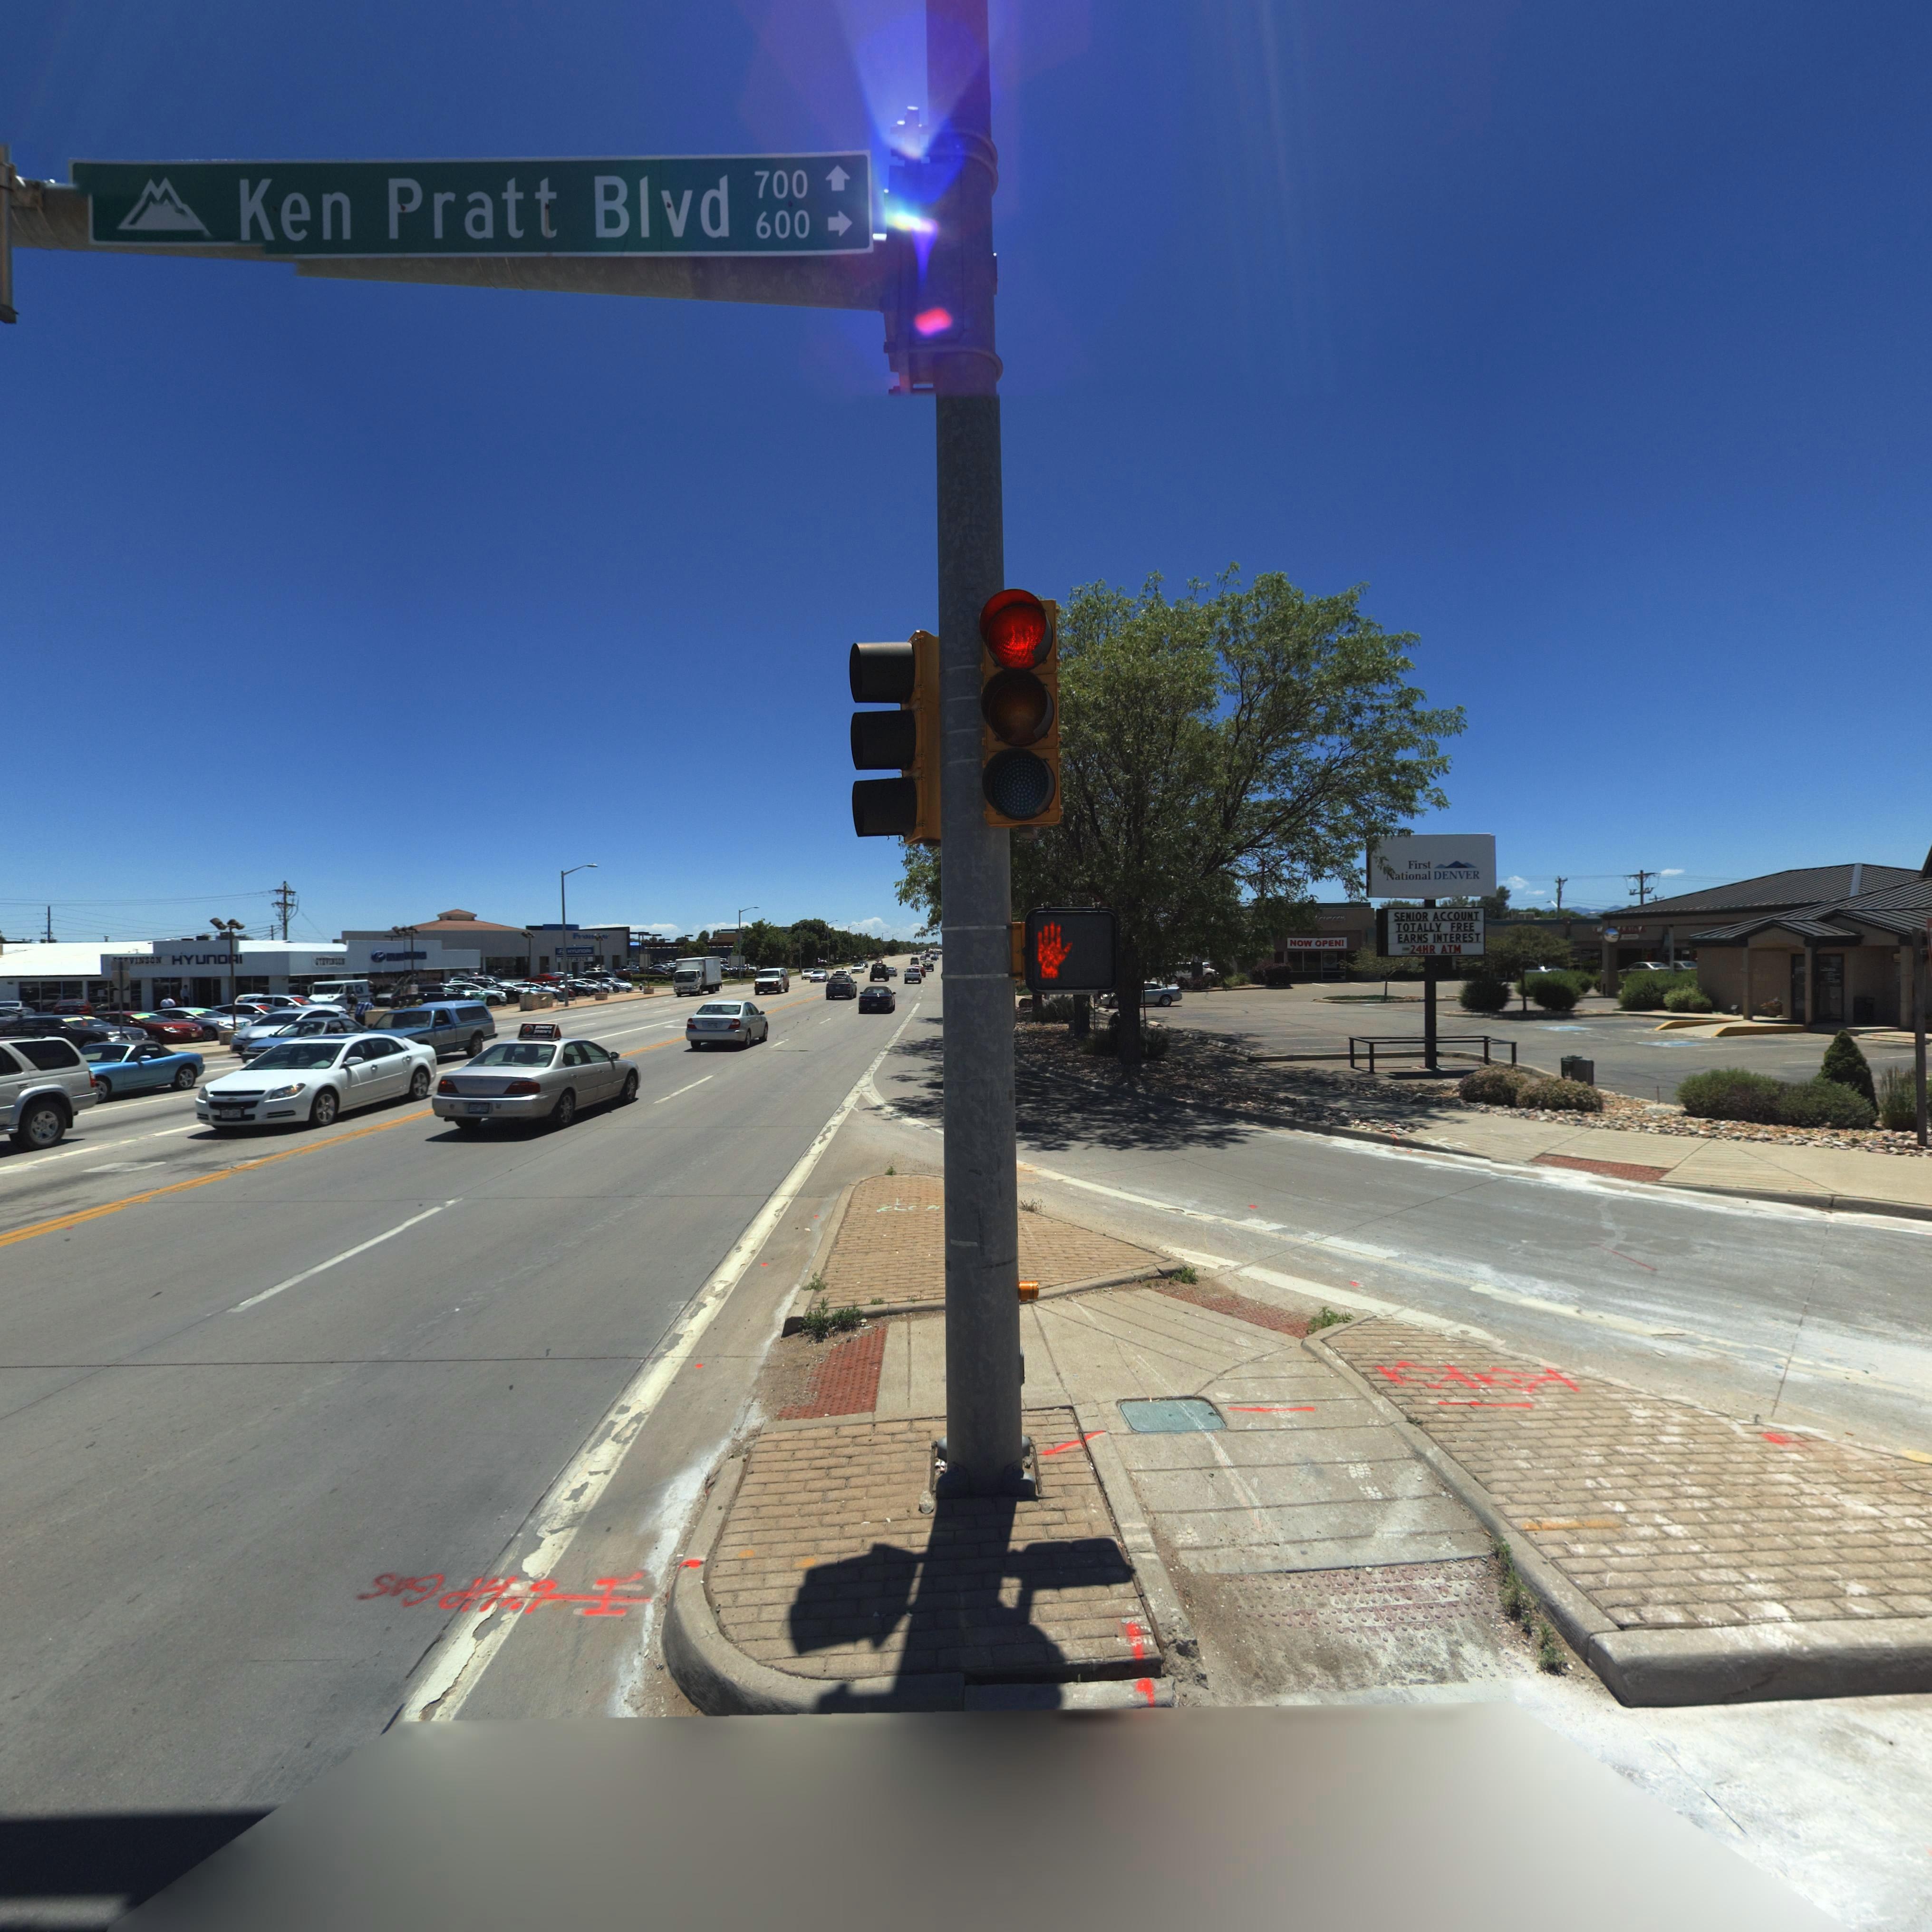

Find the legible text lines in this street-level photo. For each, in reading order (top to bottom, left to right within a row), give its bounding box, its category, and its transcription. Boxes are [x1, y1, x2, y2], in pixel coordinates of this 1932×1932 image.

[754, 169, 808, 198] StreetNumber: 700
[240, 174, 729, 241] StreetName: Ken Pratt Blvd
[755, 210, 853, 240] StreetNumber: 600->
[1408, 860, 1431, 869] BusinessName: First
[1386, 870, 1479, 880] BusinessName: *ational DENVER
[573, 932, 610, 939] BusinessName: Fron***r
[568, 948, 591, 953] BusinessName: HYUNDAI
[113, 954, 242, 965] BusinessName: ***VINSON HYUND*I
[315, 958, 345, 966] BusinessName: STEVINSON